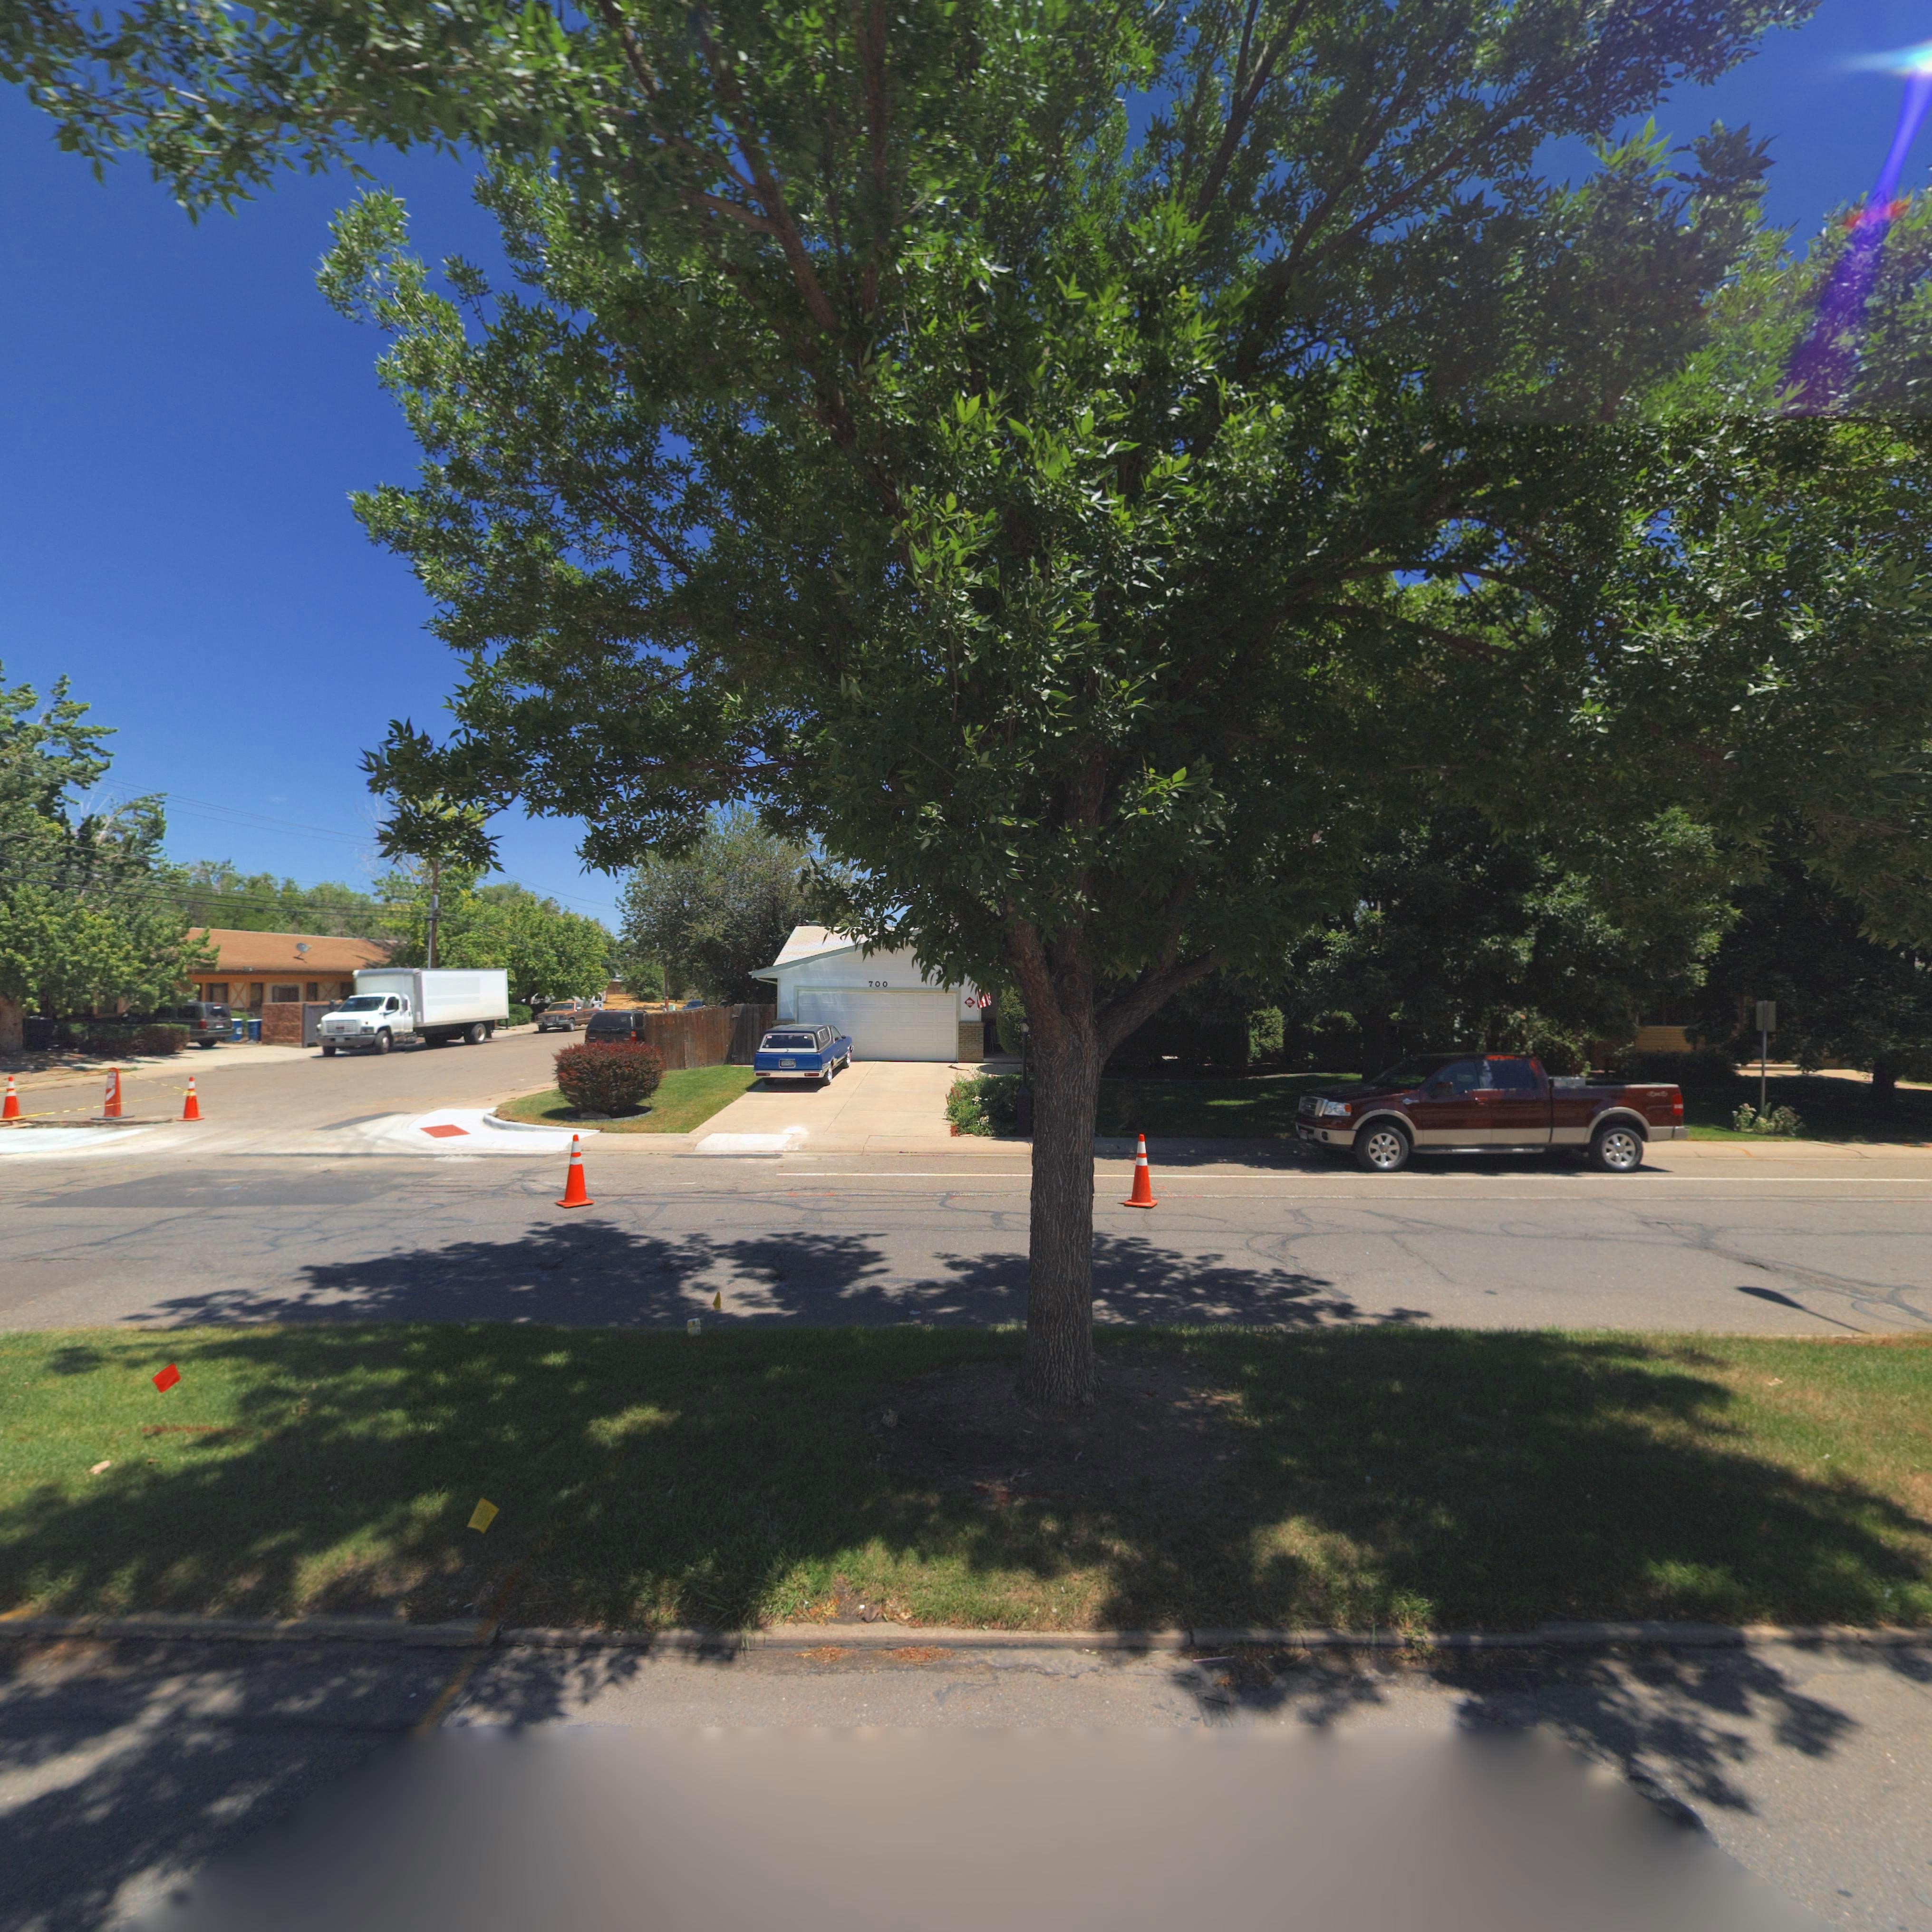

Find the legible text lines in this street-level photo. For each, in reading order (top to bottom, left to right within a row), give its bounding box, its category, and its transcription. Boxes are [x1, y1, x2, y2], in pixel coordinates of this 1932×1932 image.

[867, 980, 888, 987] StreetNumber: 700